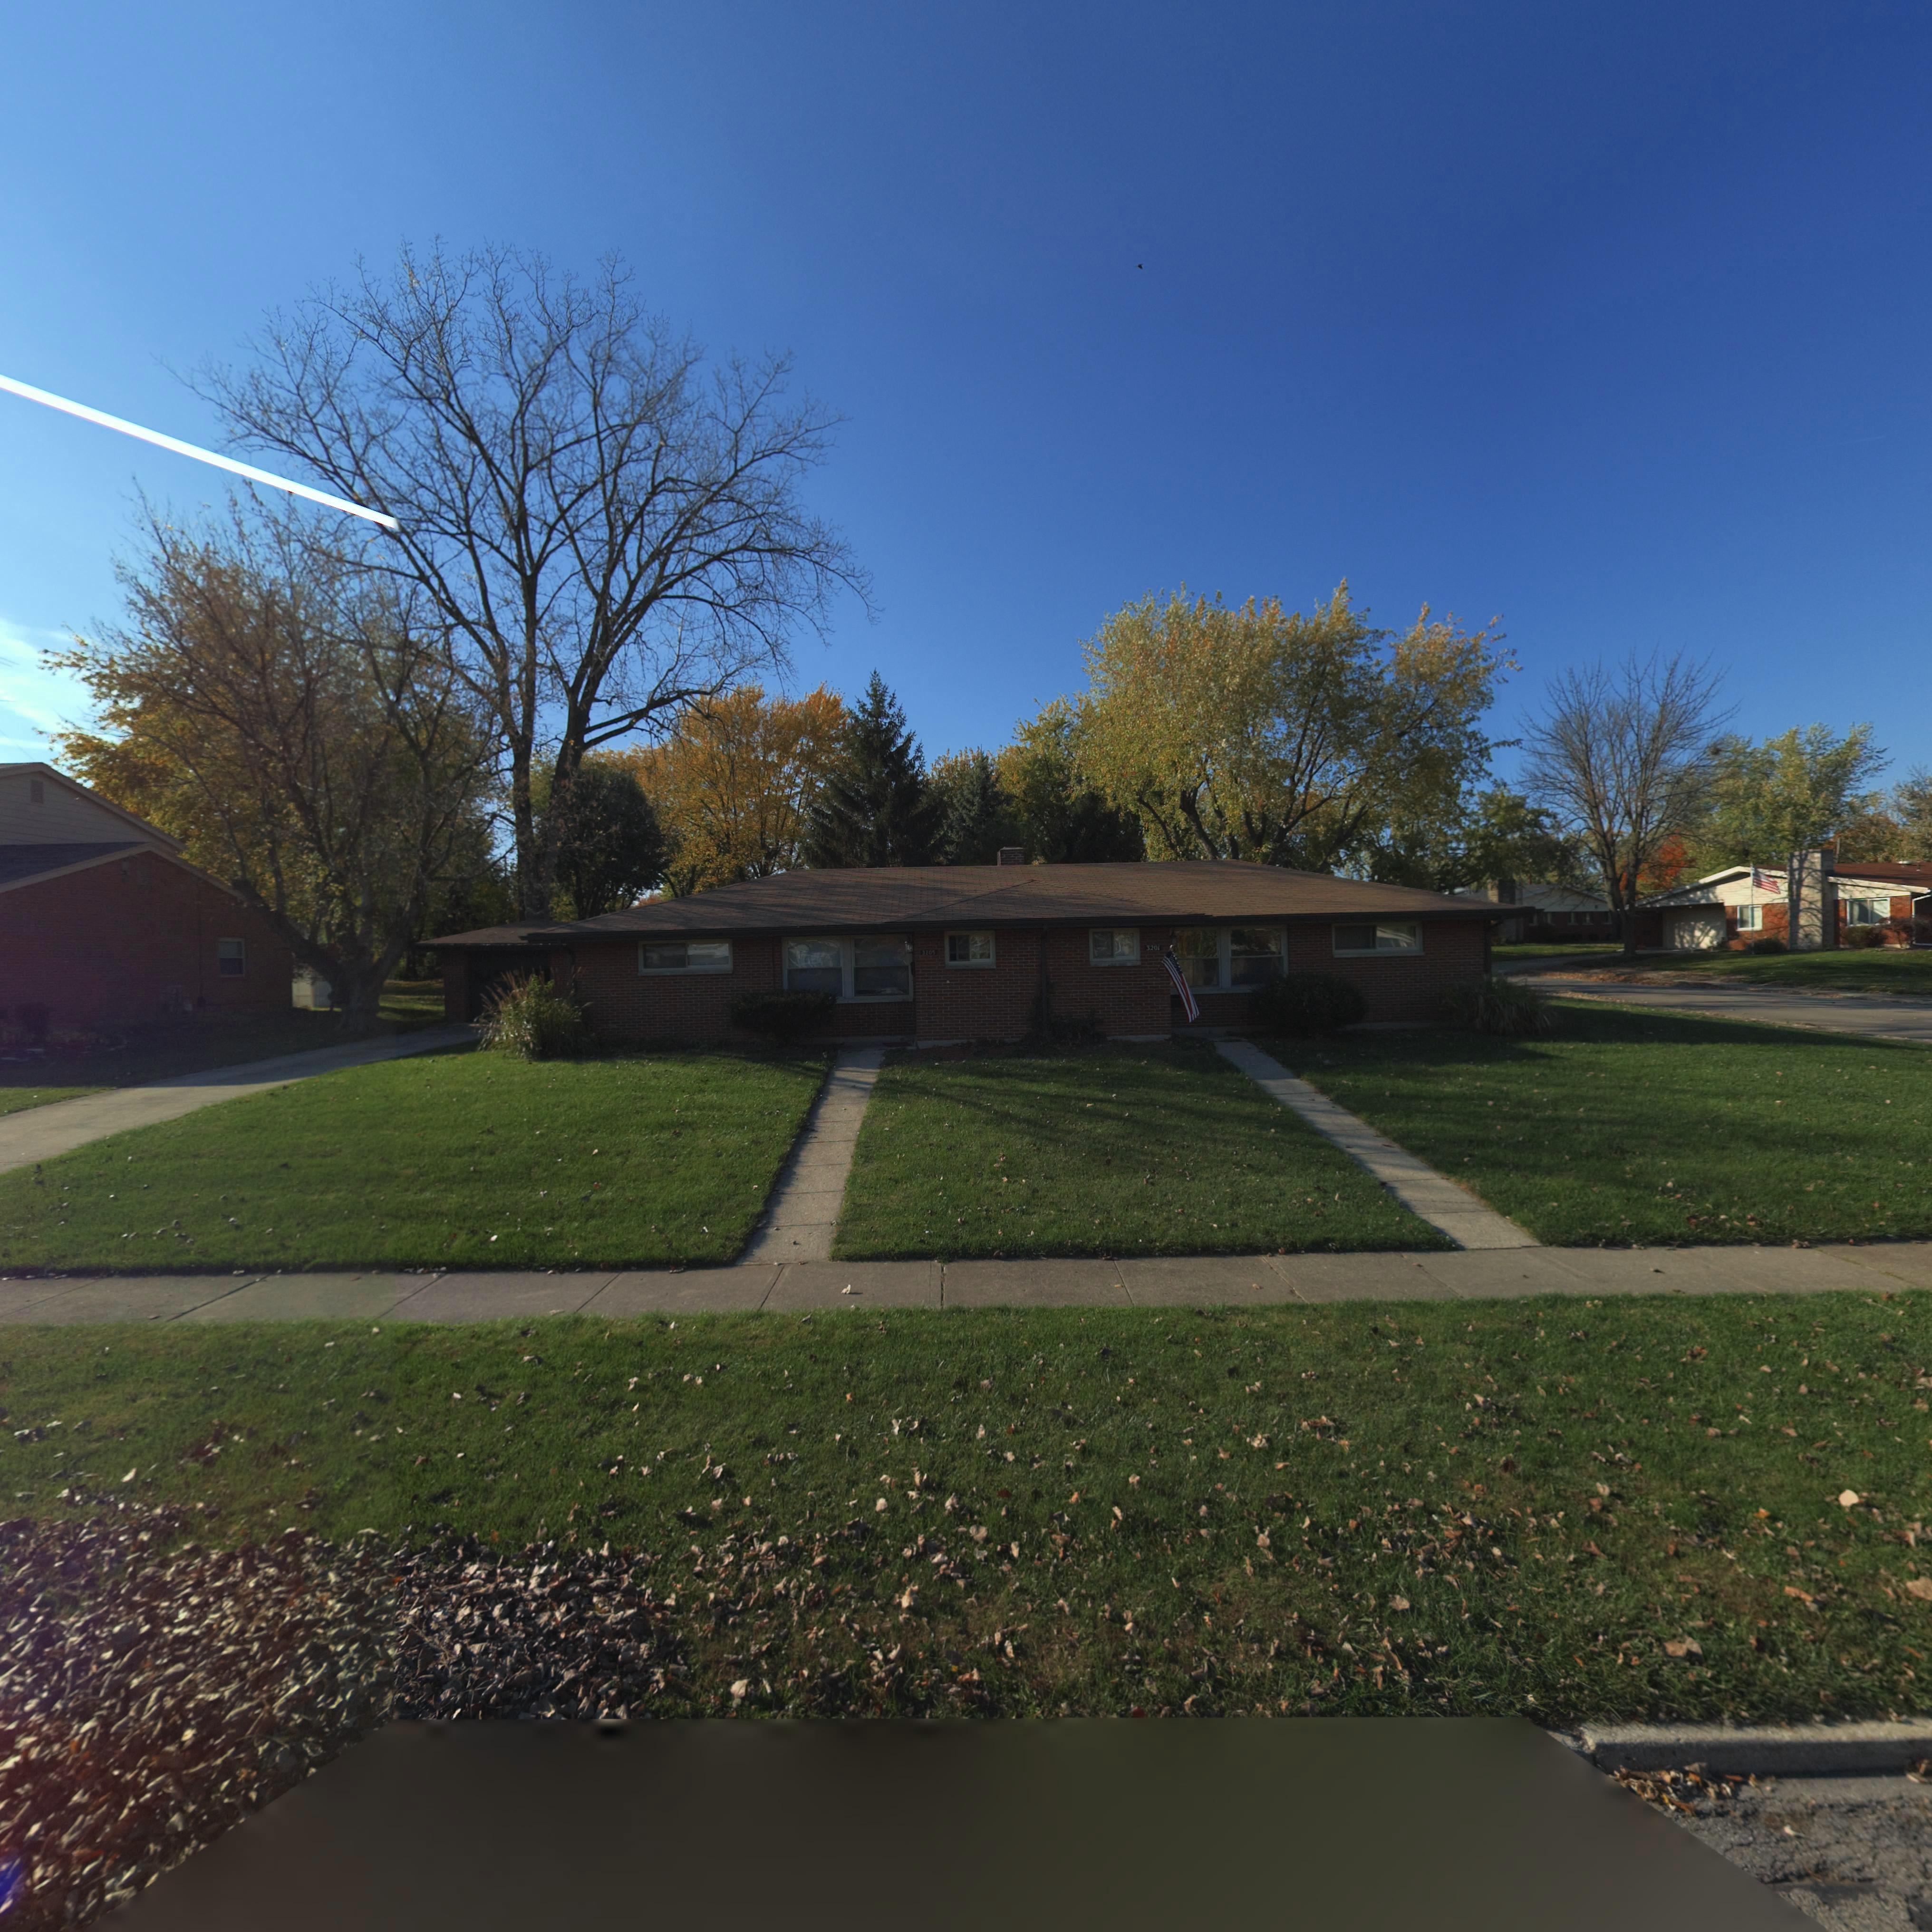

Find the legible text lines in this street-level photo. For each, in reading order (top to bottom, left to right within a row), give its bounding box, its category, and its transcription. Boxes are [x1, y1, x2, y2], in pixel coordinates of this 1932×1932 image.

[1146, 945, 1160, 951] StreetNumber: 3201
[921, 949, 935, 955] StreetNumber: 3205